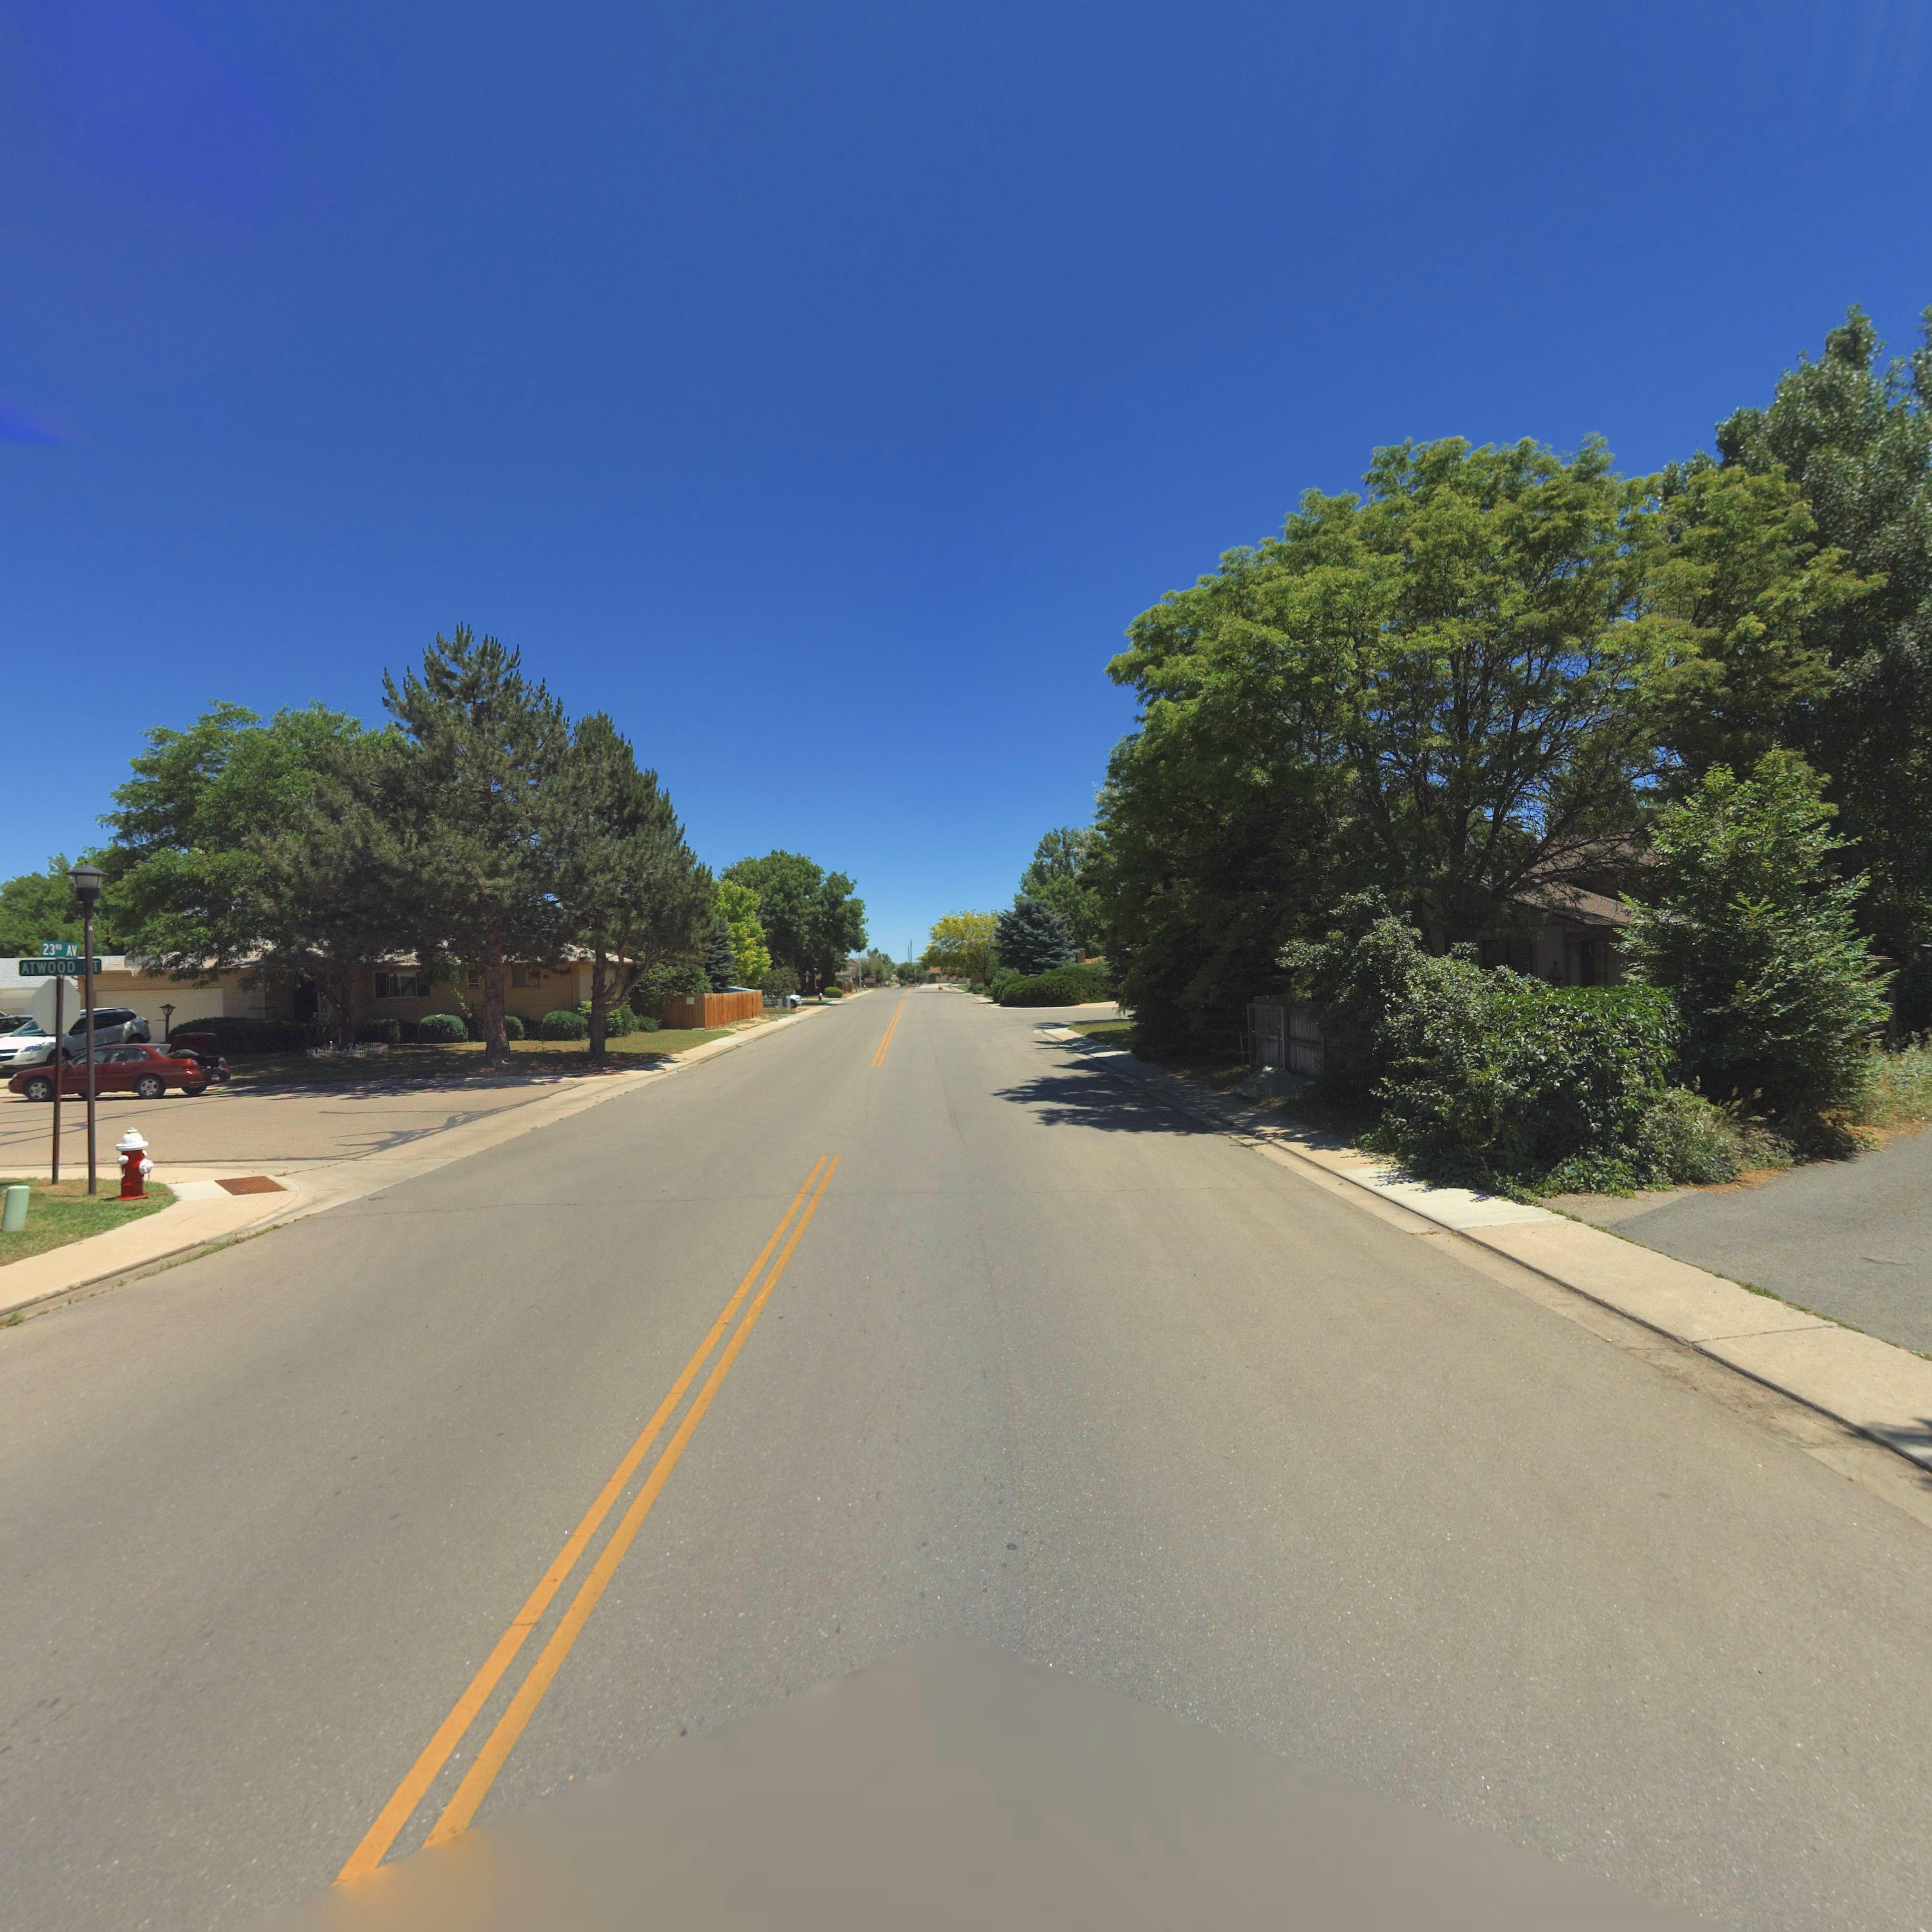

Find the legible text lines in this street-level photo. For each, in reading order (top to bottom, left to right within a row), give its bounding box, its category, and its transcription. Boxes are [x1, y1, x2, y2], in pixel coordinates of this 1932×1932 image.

[42, 942, 77, 957] StreetName: 23RD AV
[20, 960, 99, 974] StreetName: ATWOOD *T